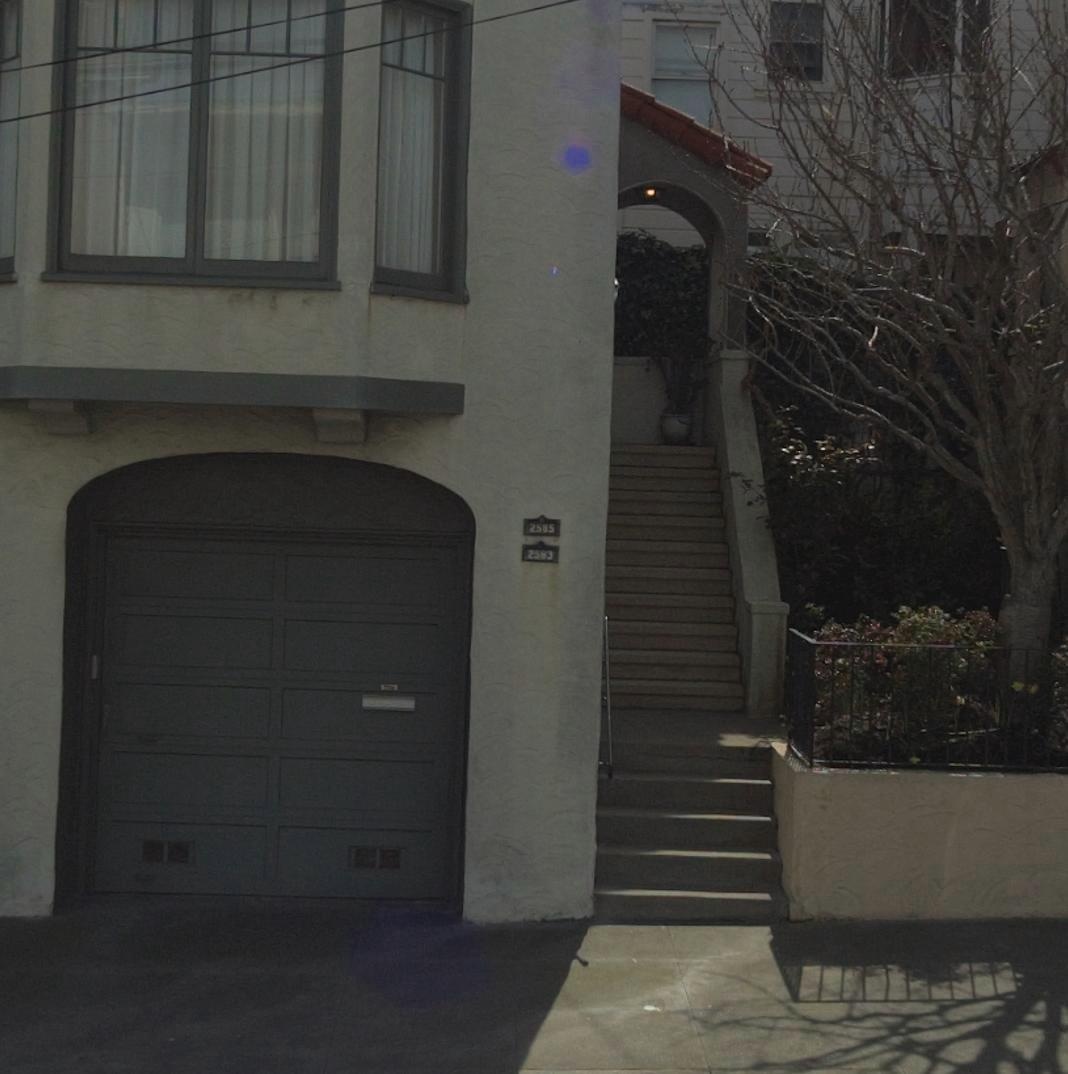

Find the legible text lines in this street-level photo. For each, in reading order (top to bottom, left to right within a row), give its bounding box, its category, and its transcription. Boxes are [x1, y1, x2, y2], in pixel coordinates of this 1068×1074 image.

[527, 521, 557, 536] StreetNumber: 2585
[526, 547, 555, 563] StreetNumber: 2583